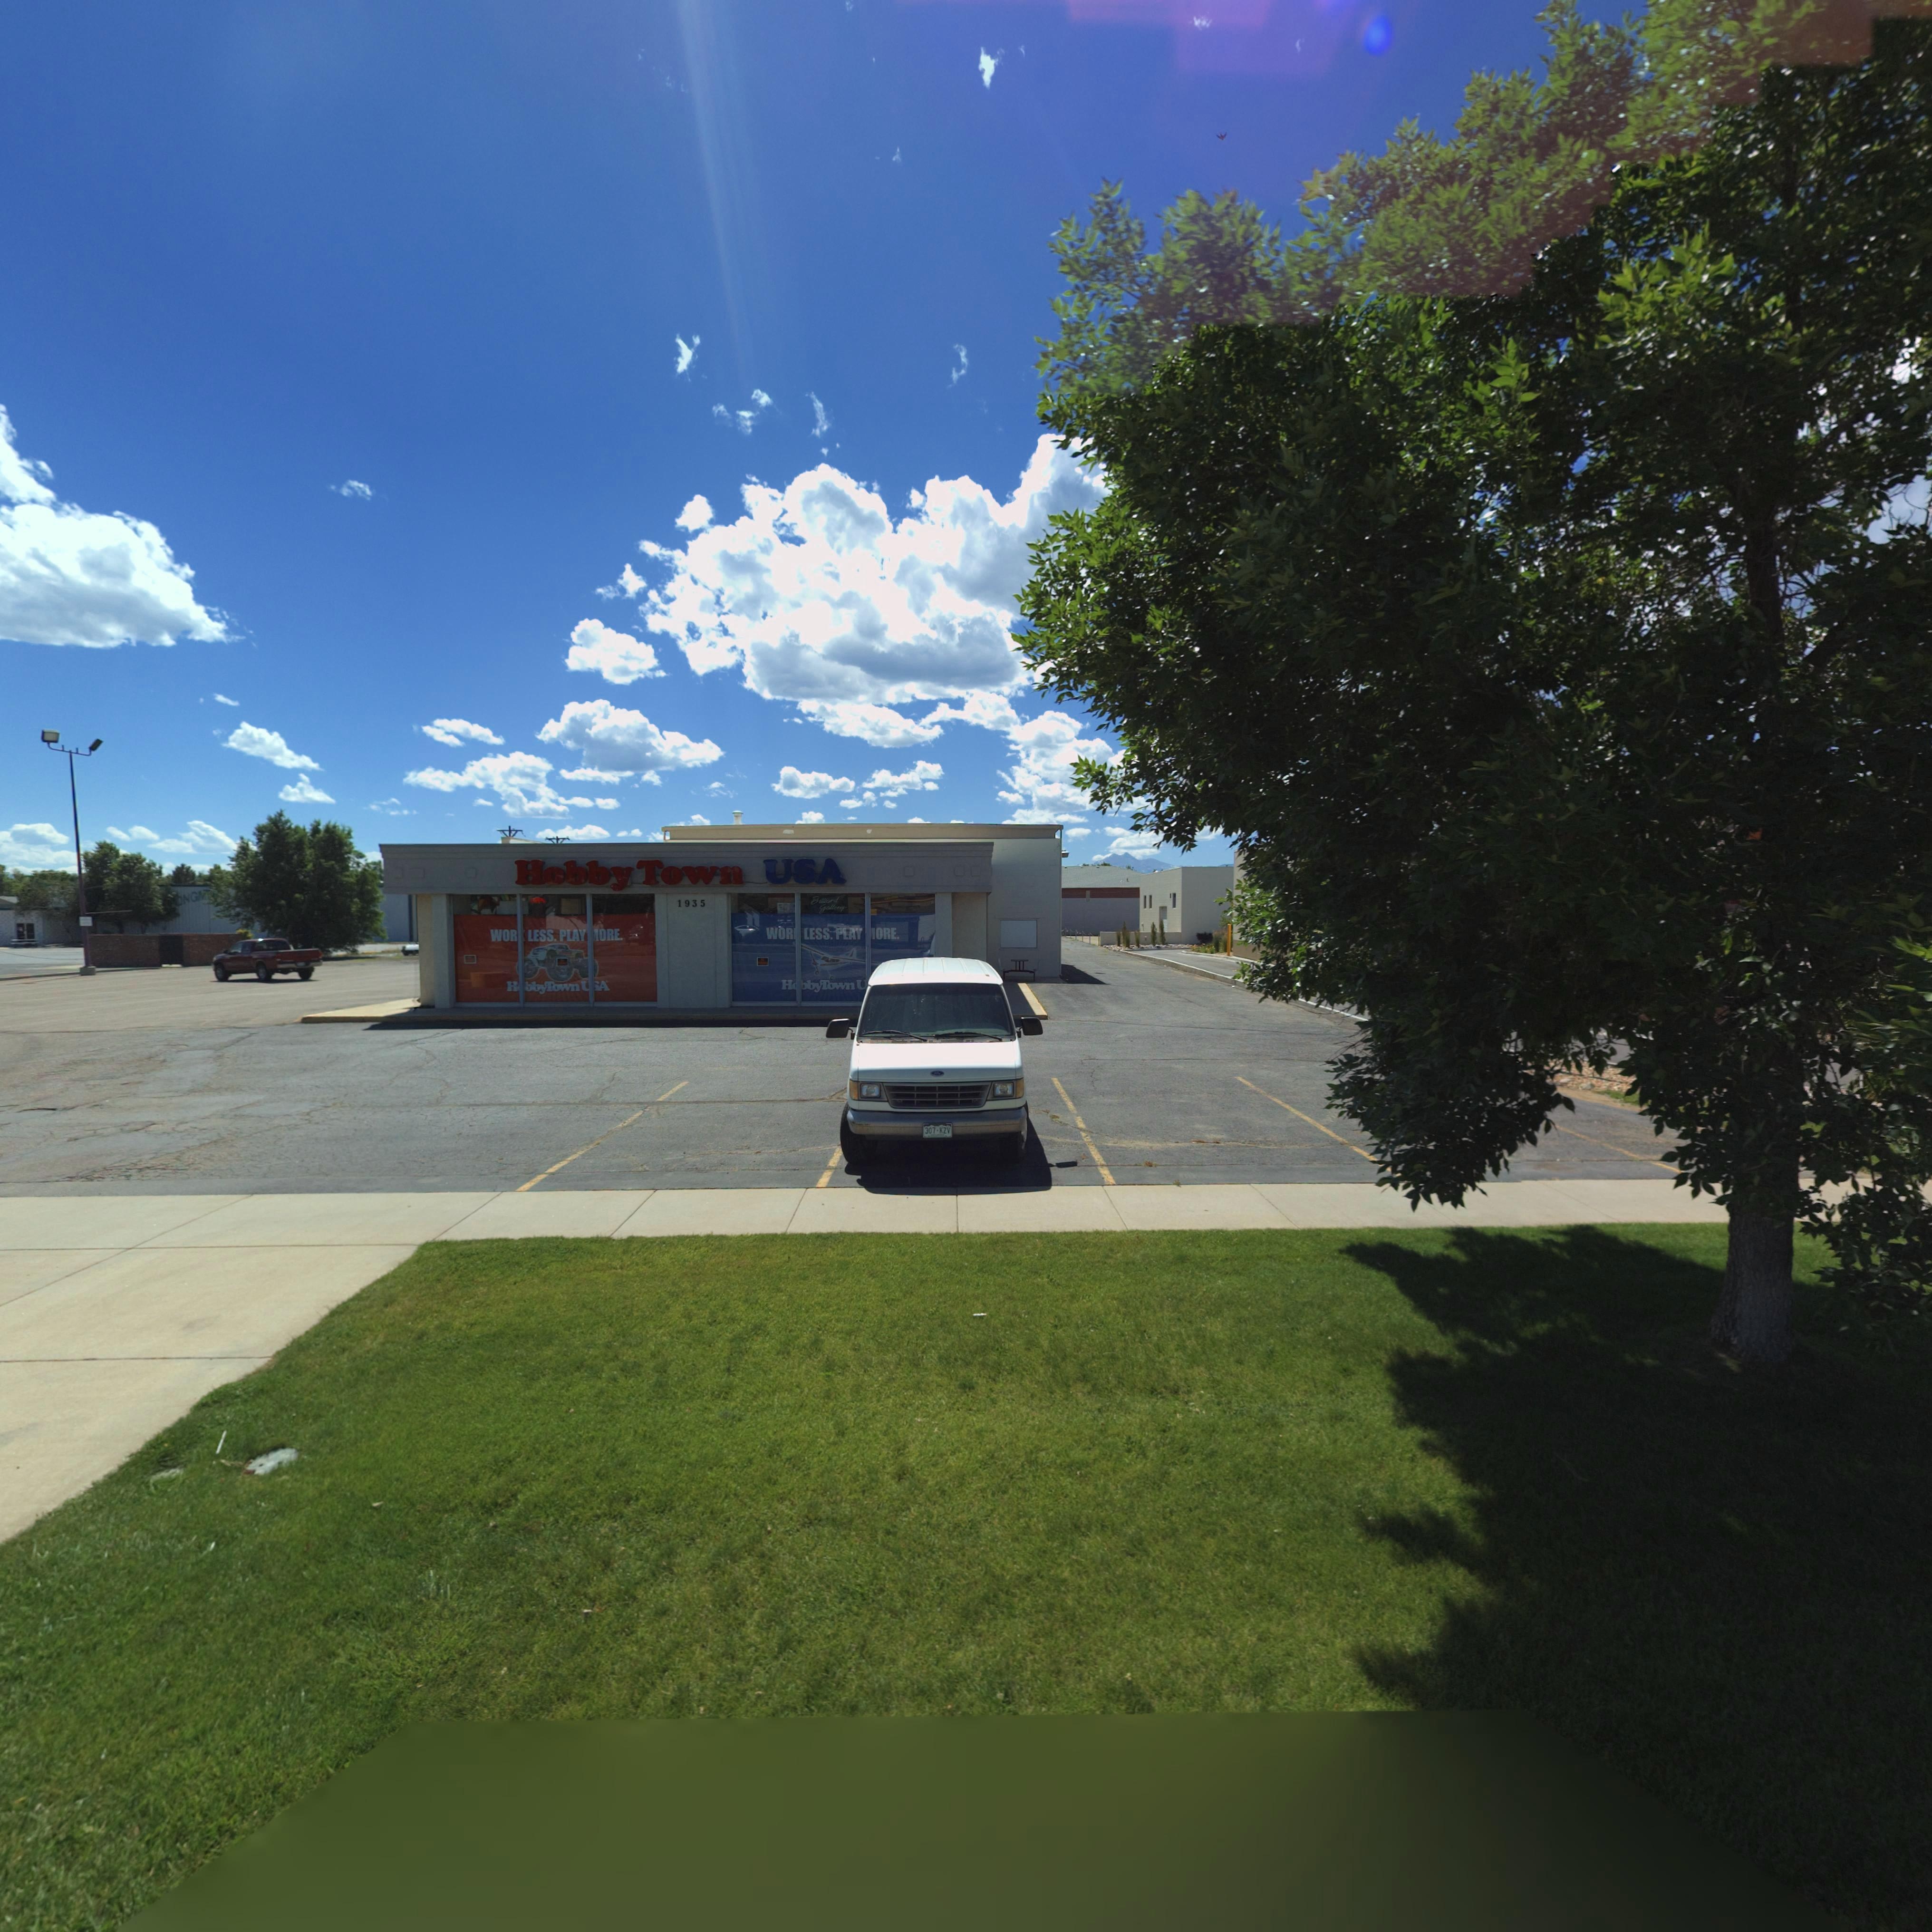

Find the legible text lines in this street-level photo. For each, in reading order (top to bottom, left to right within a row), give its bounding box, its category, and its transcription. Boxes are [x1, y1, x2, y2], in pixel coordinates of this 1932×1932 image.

[513, 857, 847, 891] BusinessName: Hobby Town USA
[174, 890, 207, 906] BusinessName: ONG*
[677, 898, 705, 908] StreetNumber: 1935
[506, 980, 610, 995] BusinessName: H*bbyTown U*A
[781, 979, 868, 993] BusinessName: H**byTown U